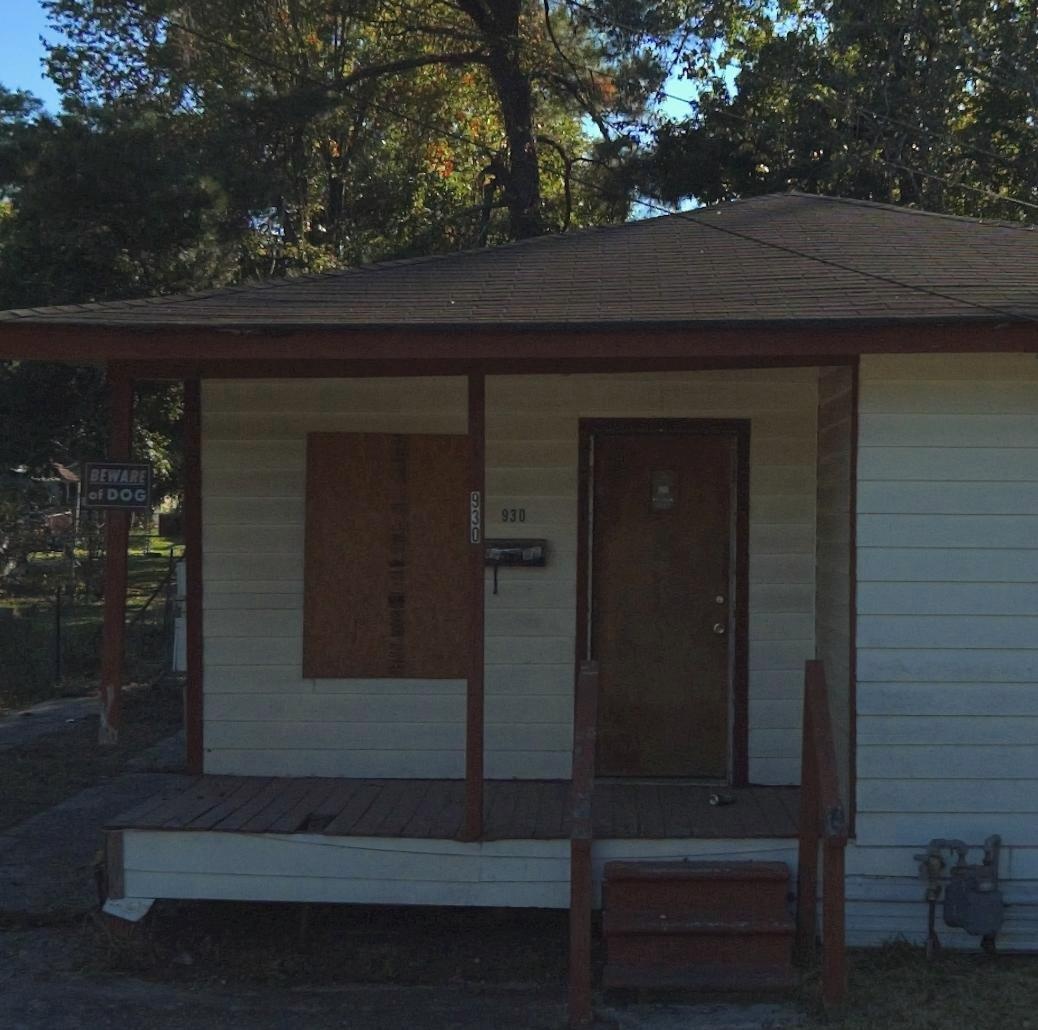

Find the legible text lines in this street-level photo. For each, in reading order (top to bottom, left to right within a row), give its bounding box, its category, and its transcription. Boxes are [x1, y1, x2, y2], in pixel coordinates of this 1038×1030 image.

[88, 466, 149, 485] None: BEWARE
[86, 486, 149, 504] None: of DOG
[469, 491, 482, 544] StreetNumber: 930
[500, 507, 527, 524] StreetNumber: 930